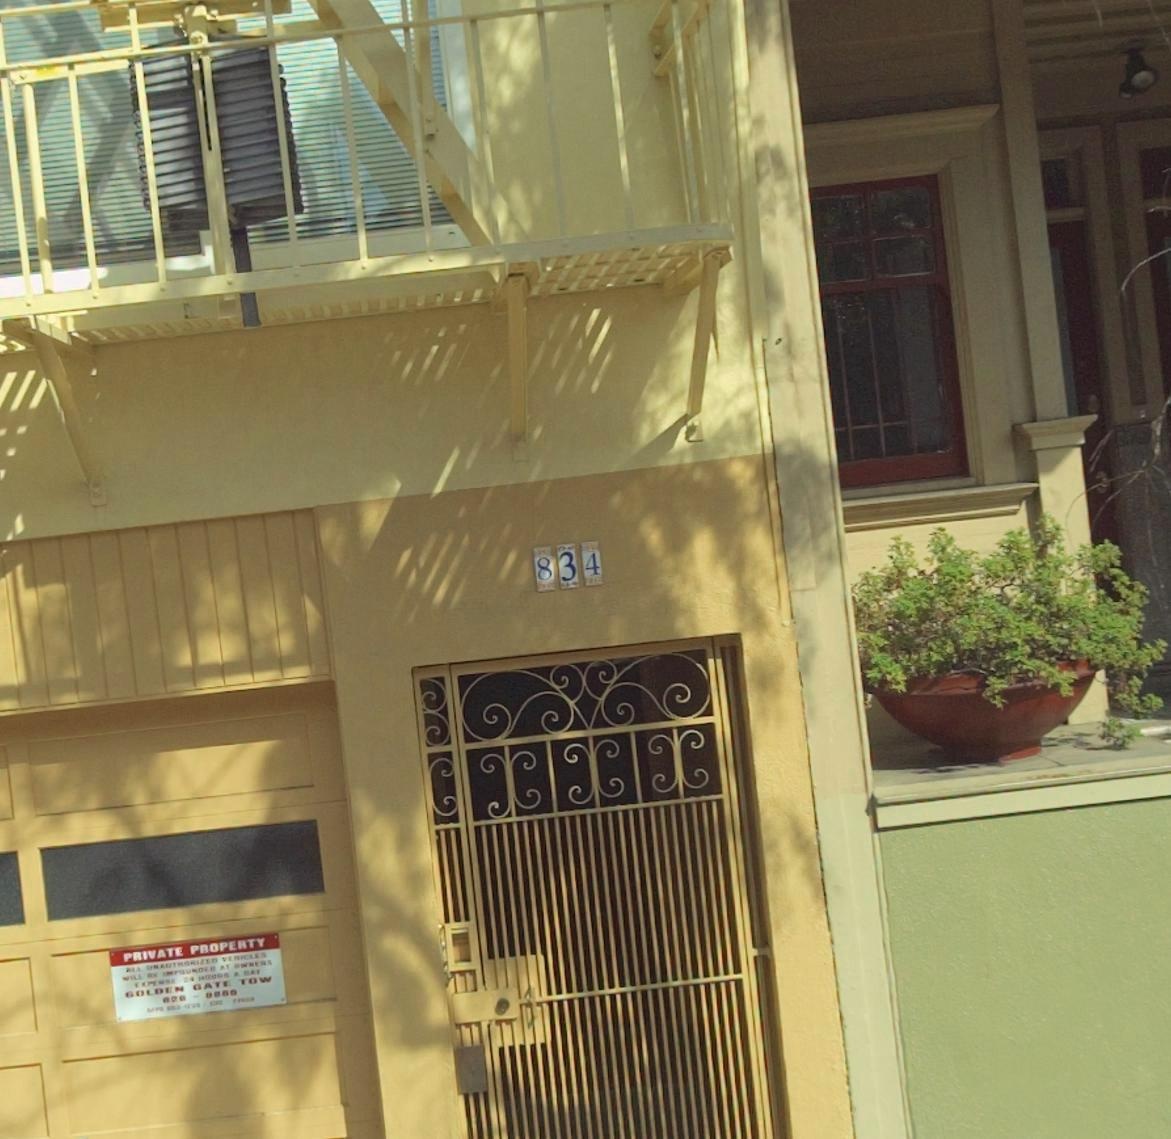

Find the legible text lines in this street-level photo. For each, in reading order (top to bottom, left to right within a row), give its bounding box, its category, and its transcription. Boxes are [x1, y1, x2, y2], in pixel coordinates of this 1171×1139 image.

[535, 550, 601, 583] StreetNumber: 834
[121, 935, 268, 964] None: PRIVATE PROPERTY
[123, 951, 267, 974] None: ALL UNAUTHORIZED VEHICLES
[119, 959, 272, 983] None: WILL BE IMPOUNDED AT OWNERS
[123, 972, 274, 1000] None: GOLDEN GATE TOW
[132, 968, 266, 987] None: EXPENSE ** ***** A DAY
[161, 987, 238, 1004] None: *2* - ****